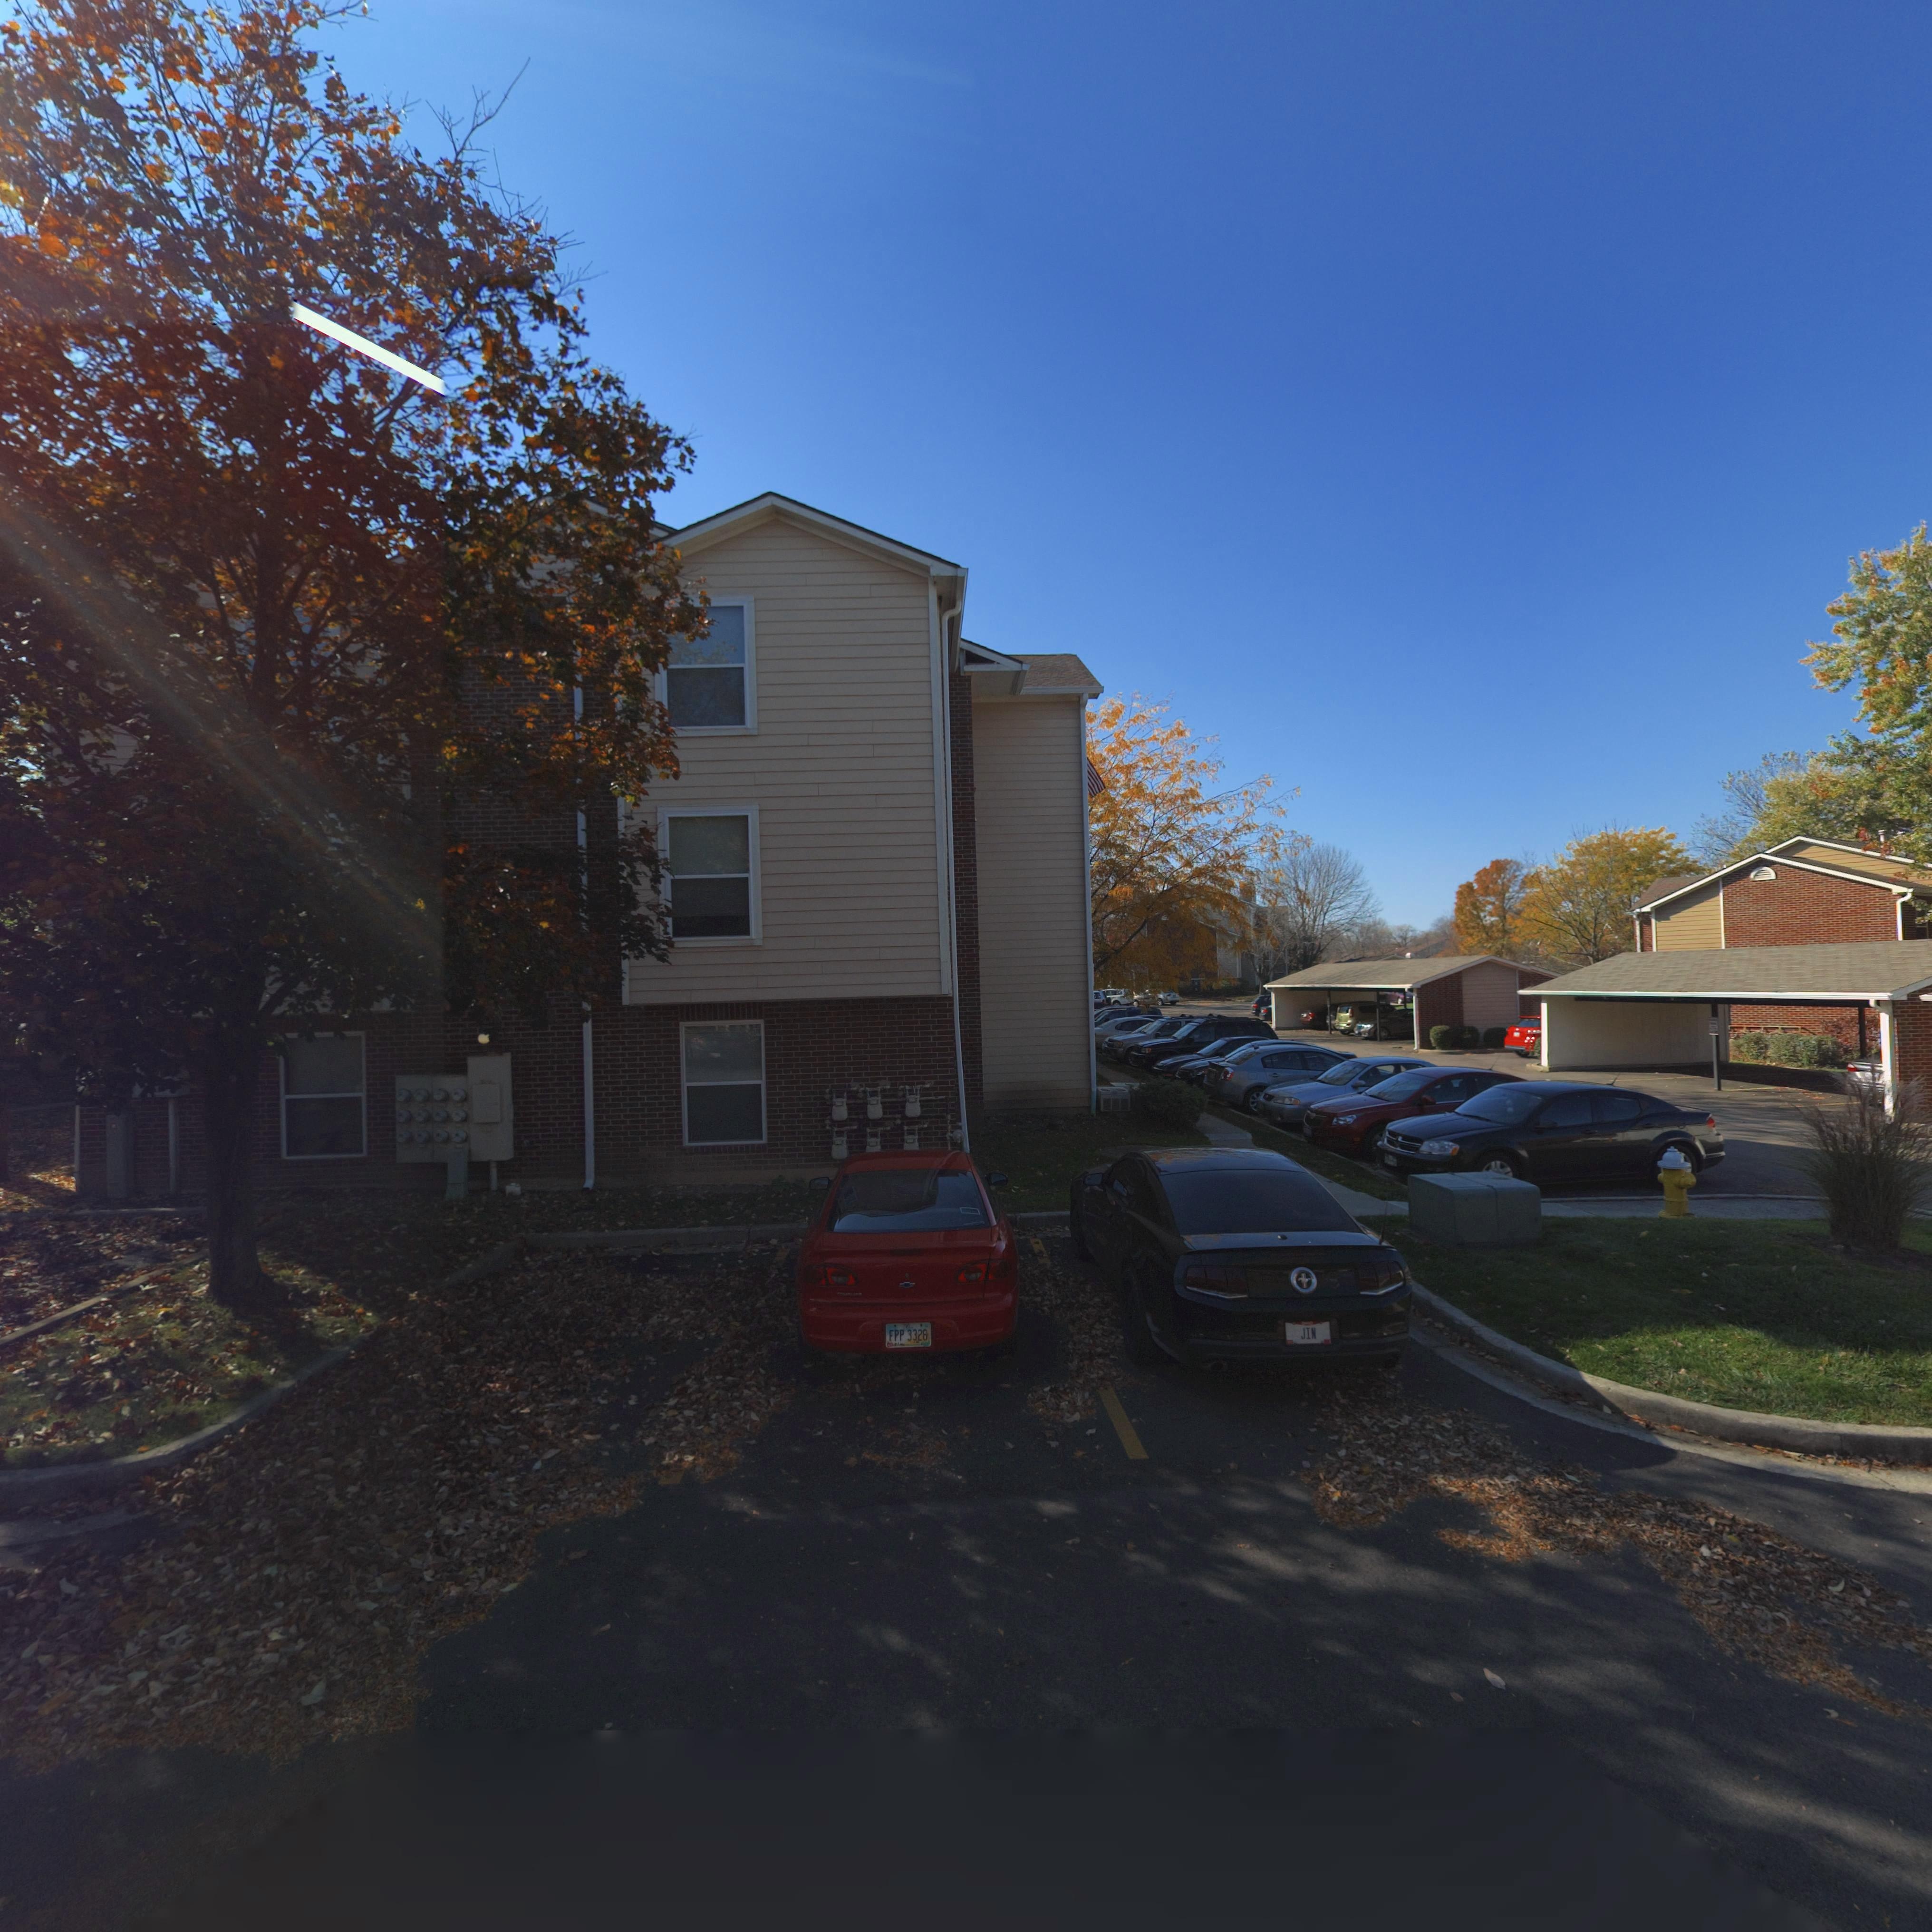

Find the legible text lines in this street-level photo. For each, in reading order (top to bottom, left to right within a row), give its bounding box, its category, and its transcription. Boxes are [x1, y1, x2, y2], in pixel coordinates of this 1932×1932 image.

[888, 1328, 928, 1343] None: FPP 332*
[1300, 1326, 1317, 1341] None: JIN